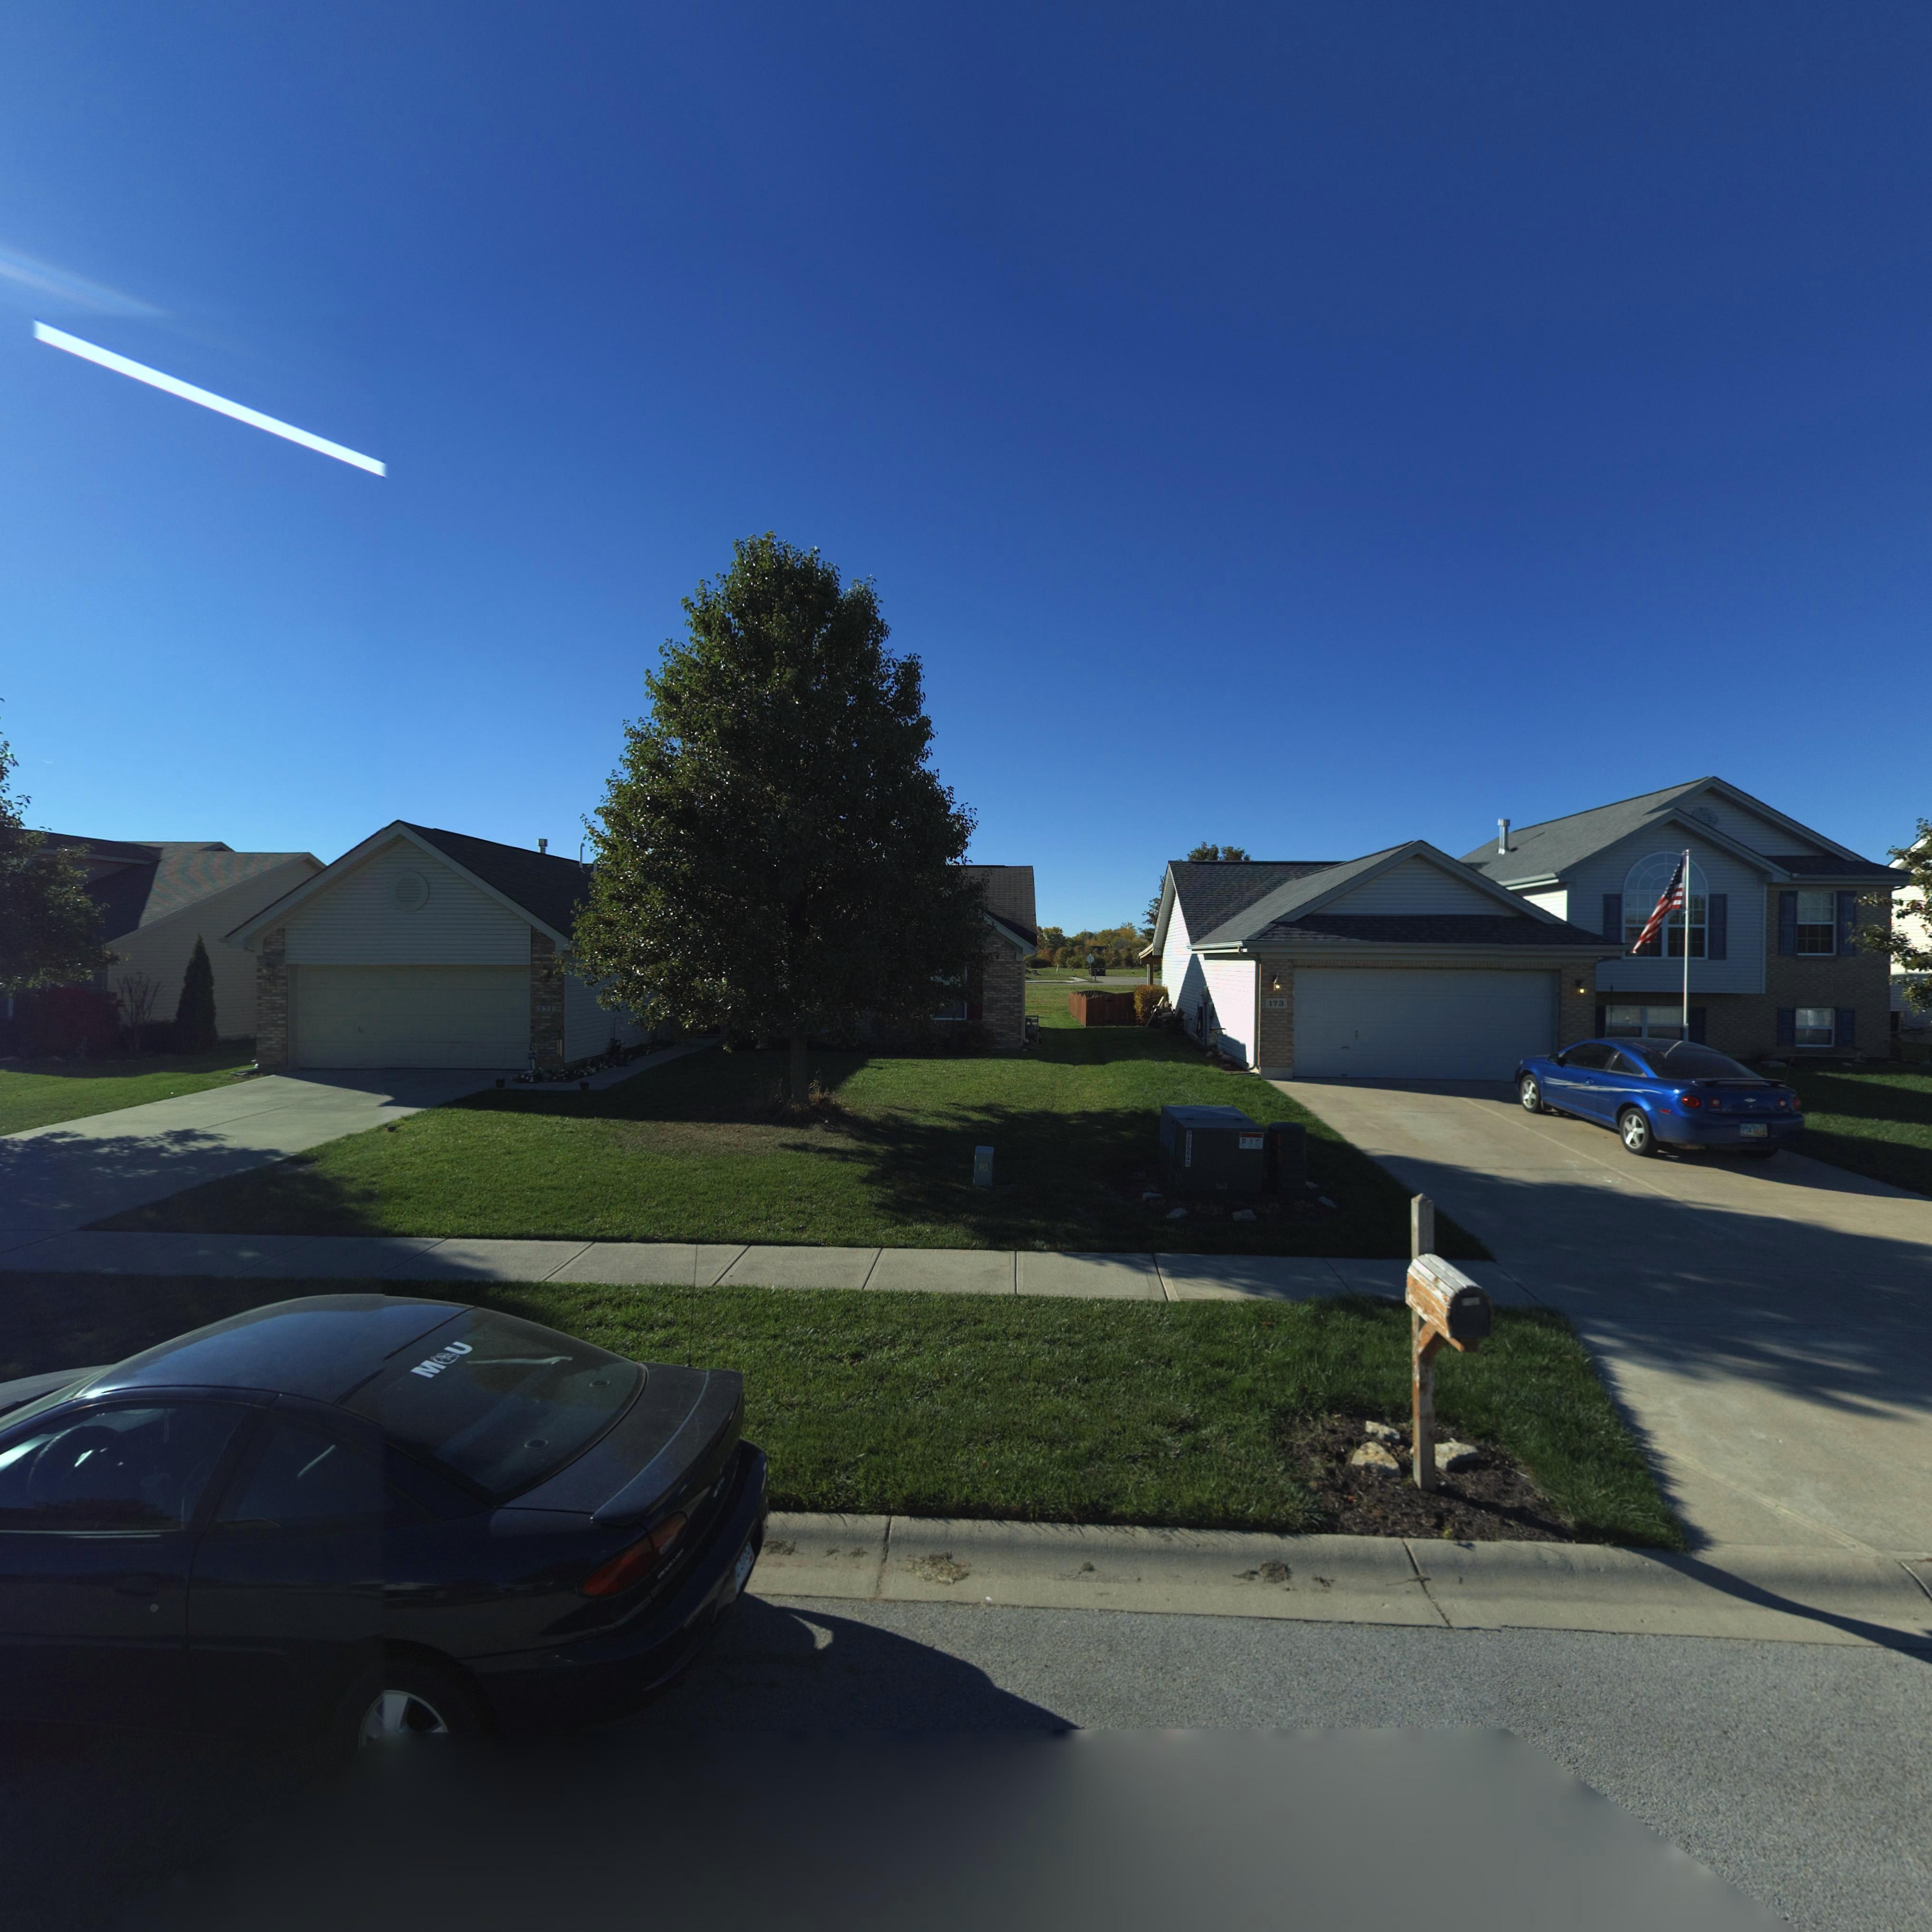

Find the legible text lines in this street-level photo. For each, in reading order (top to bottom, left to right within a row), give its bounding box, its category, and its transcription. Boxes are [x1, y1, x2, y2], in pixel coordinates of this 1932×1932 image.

[1268, 999, 1284, 1007] StreetNumber: 173
[538, 1005, 552, 1012] StreetNumber: 171